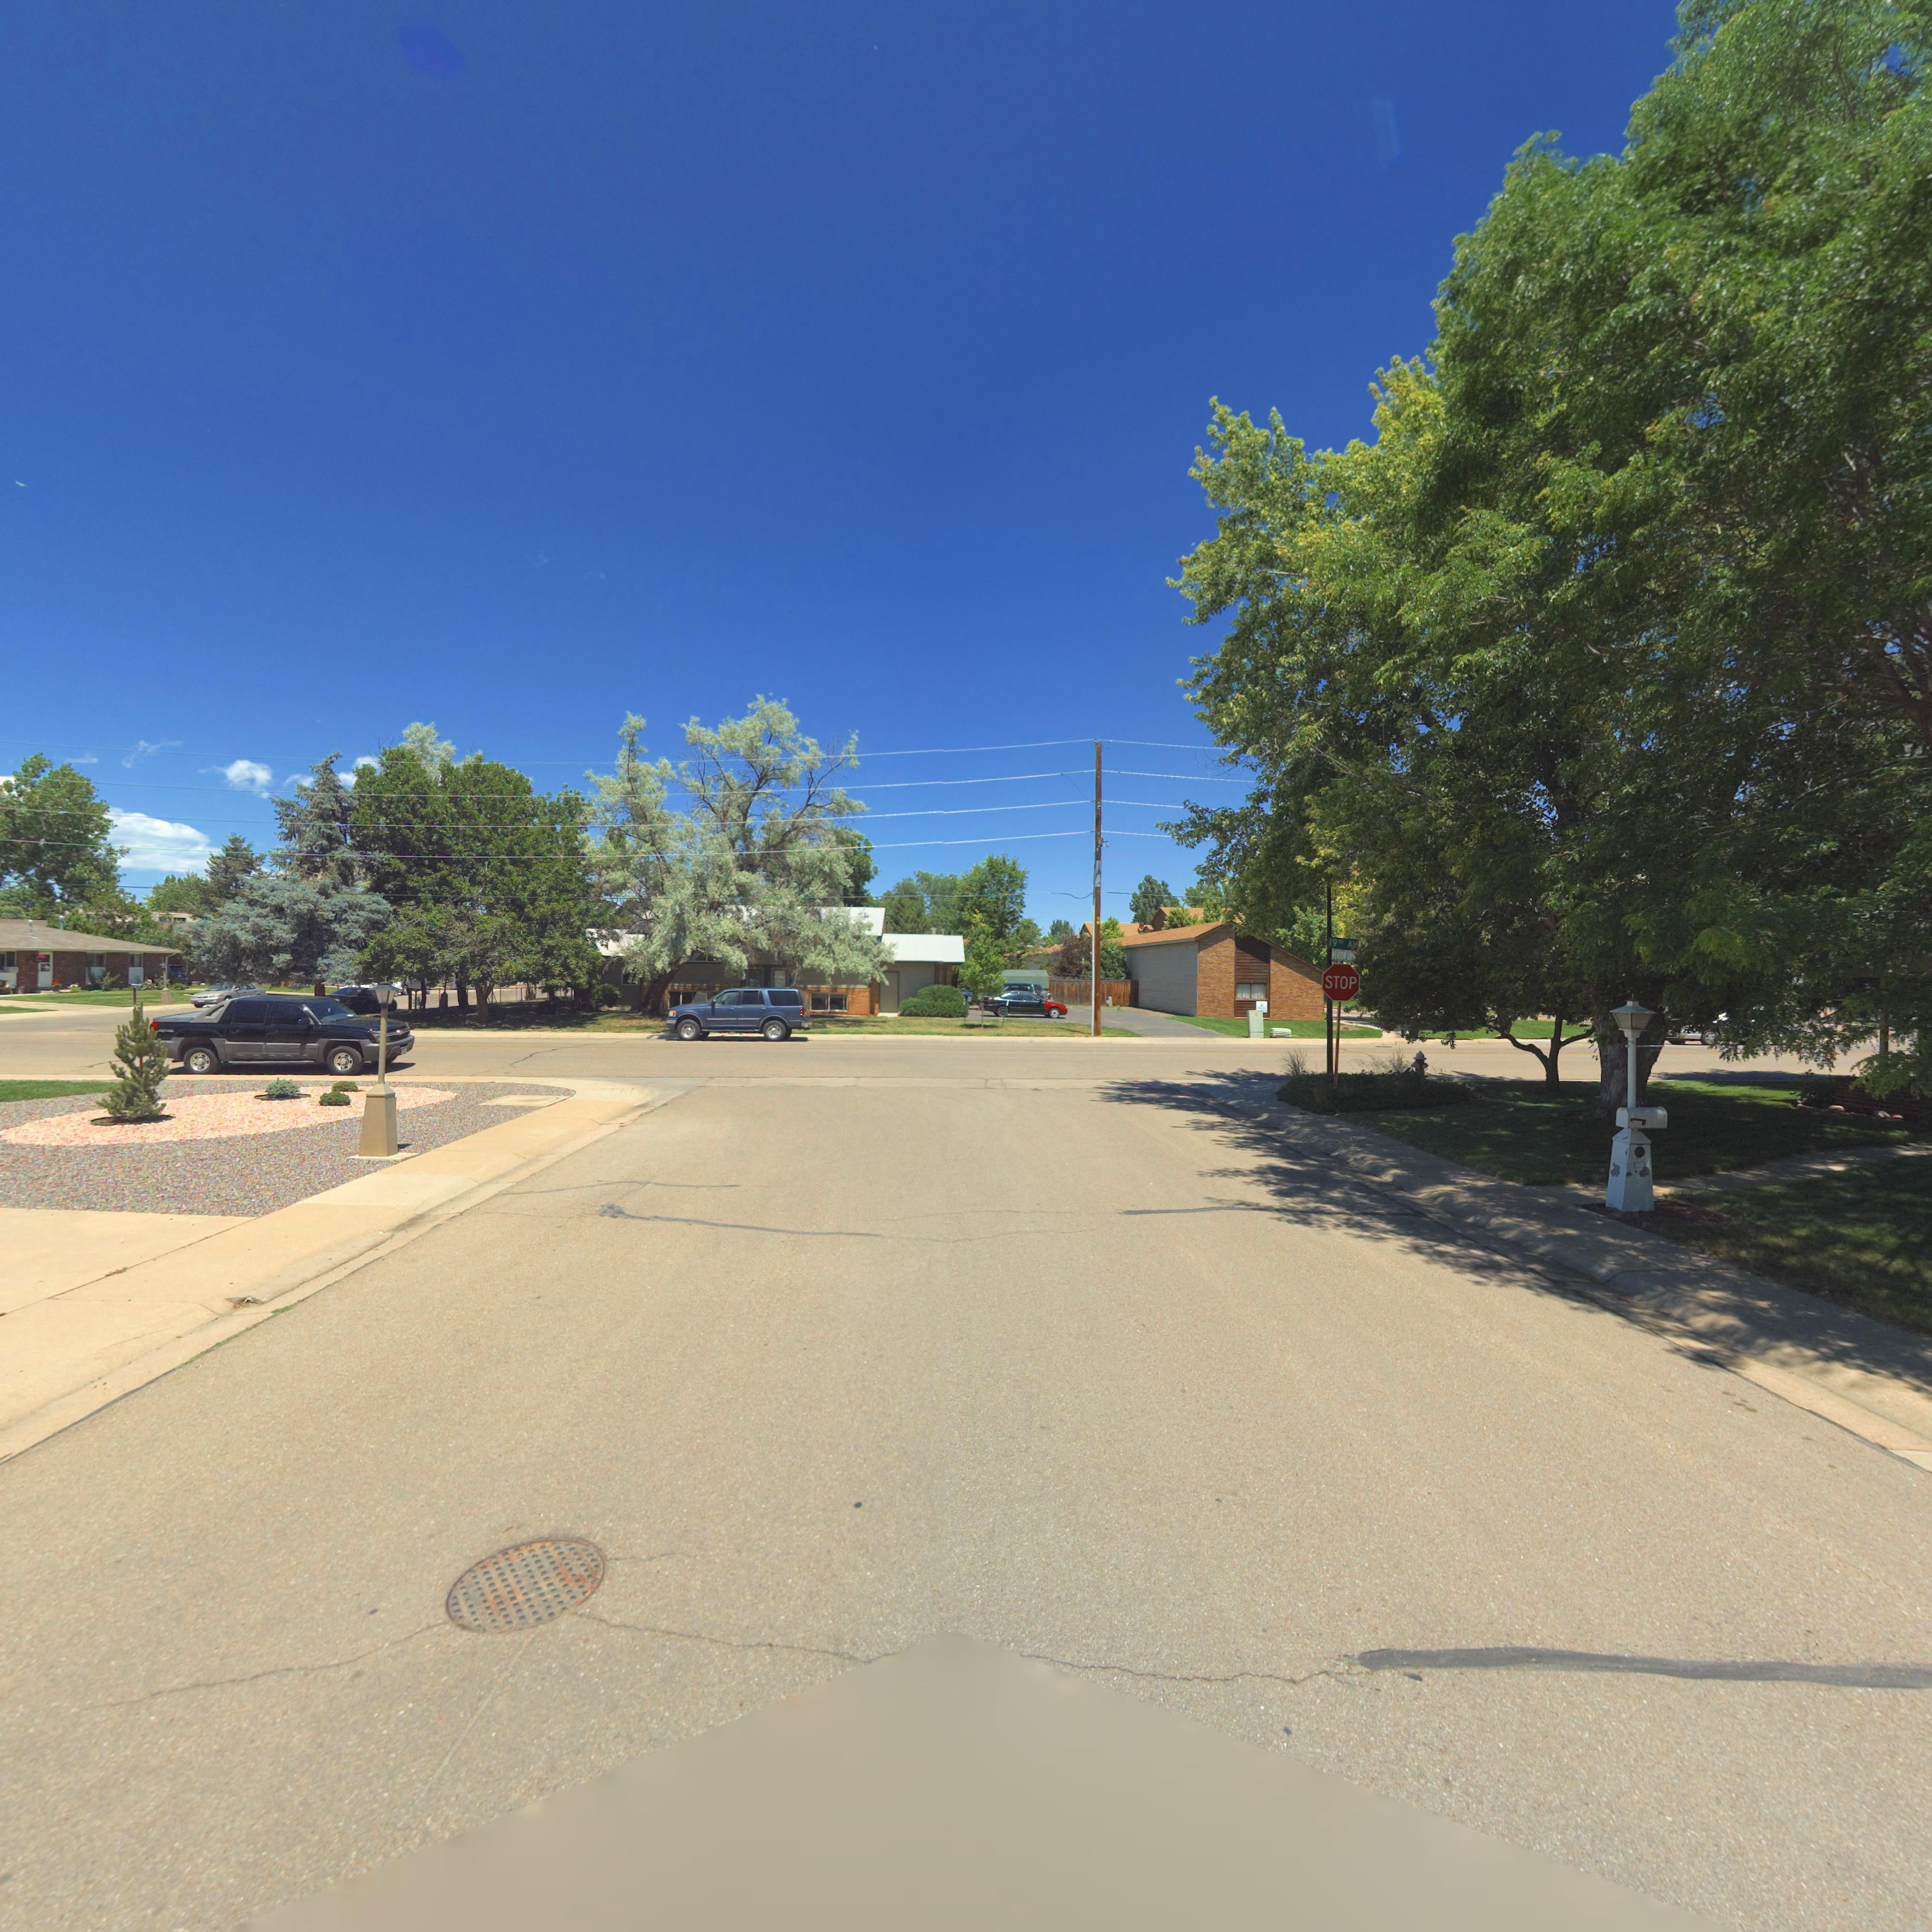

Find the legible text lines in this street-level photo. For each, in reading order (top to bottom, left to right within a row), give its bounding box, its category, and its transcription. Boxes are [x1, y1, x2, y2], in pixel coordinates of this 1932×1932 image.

[1329, 938, 1358, 948] StreetName: 19TH A*
[1331, 950, 1352, 960] StreetName: MEADOW LN